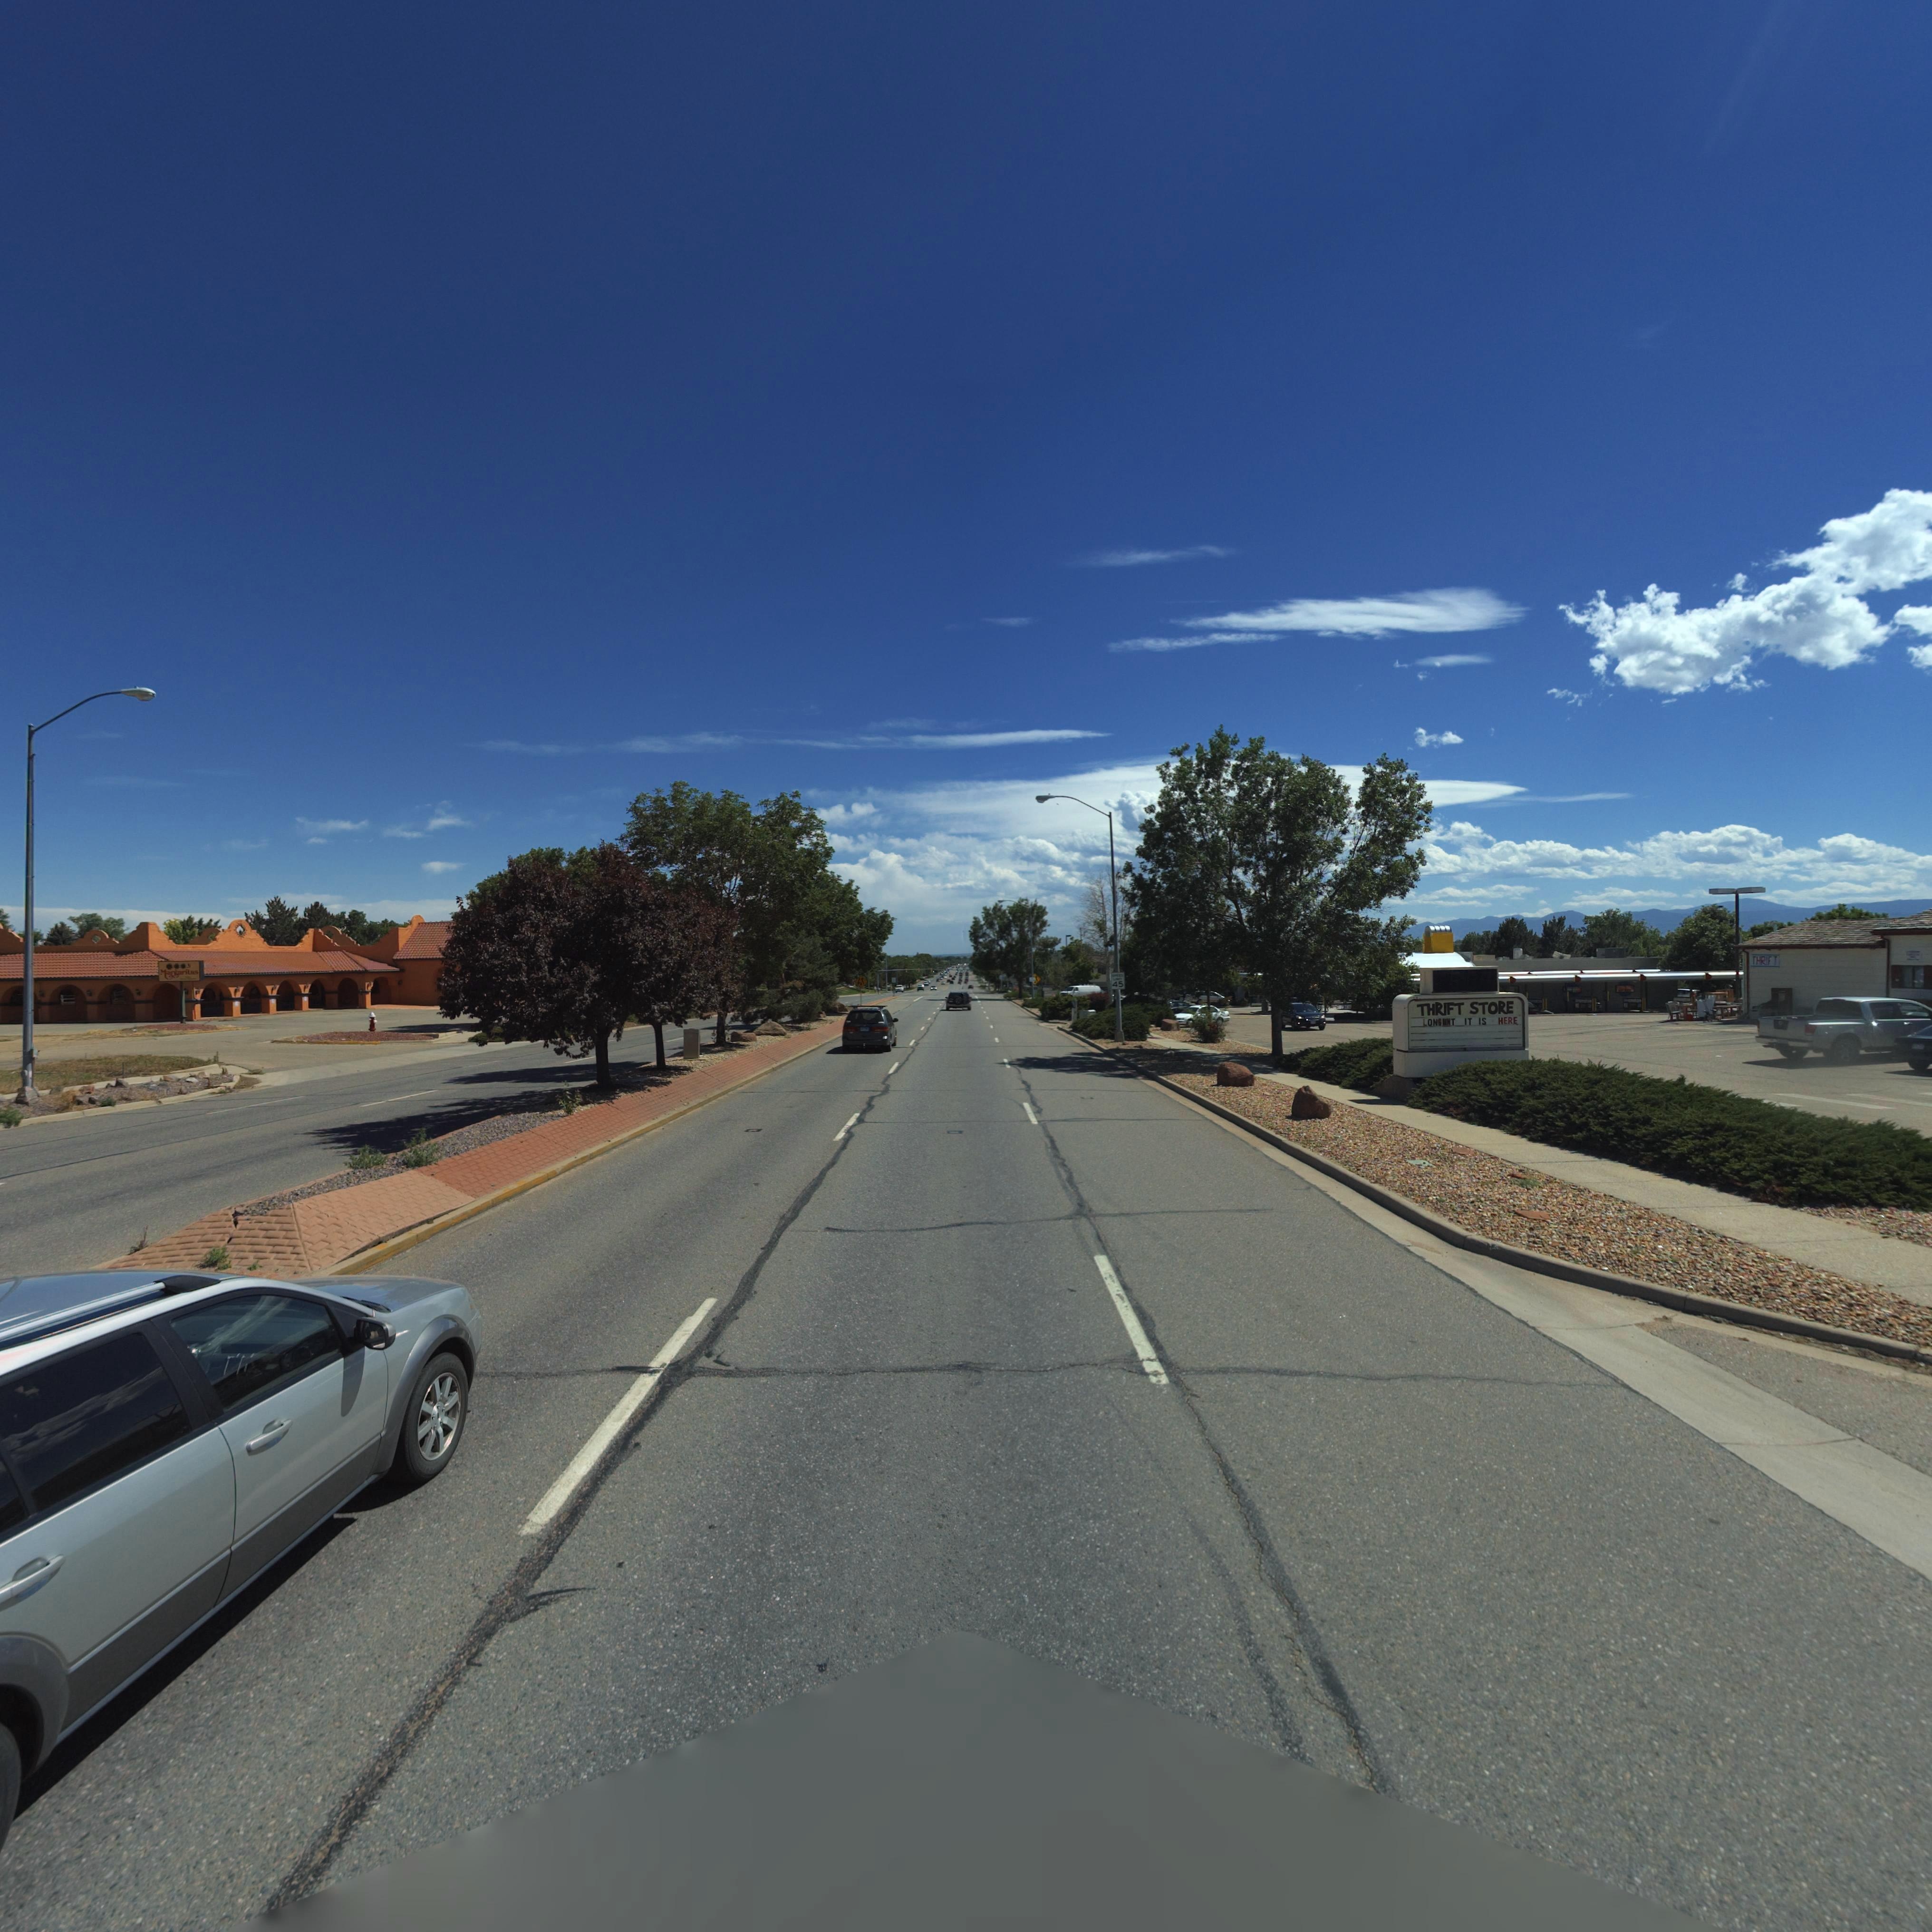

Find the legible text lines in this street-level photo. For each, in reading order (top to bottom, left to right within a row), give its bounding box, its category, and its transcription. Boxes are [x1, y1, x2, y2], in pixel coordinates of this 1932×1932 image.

[160, 968, 198, 980] BusinessName: Margaritas